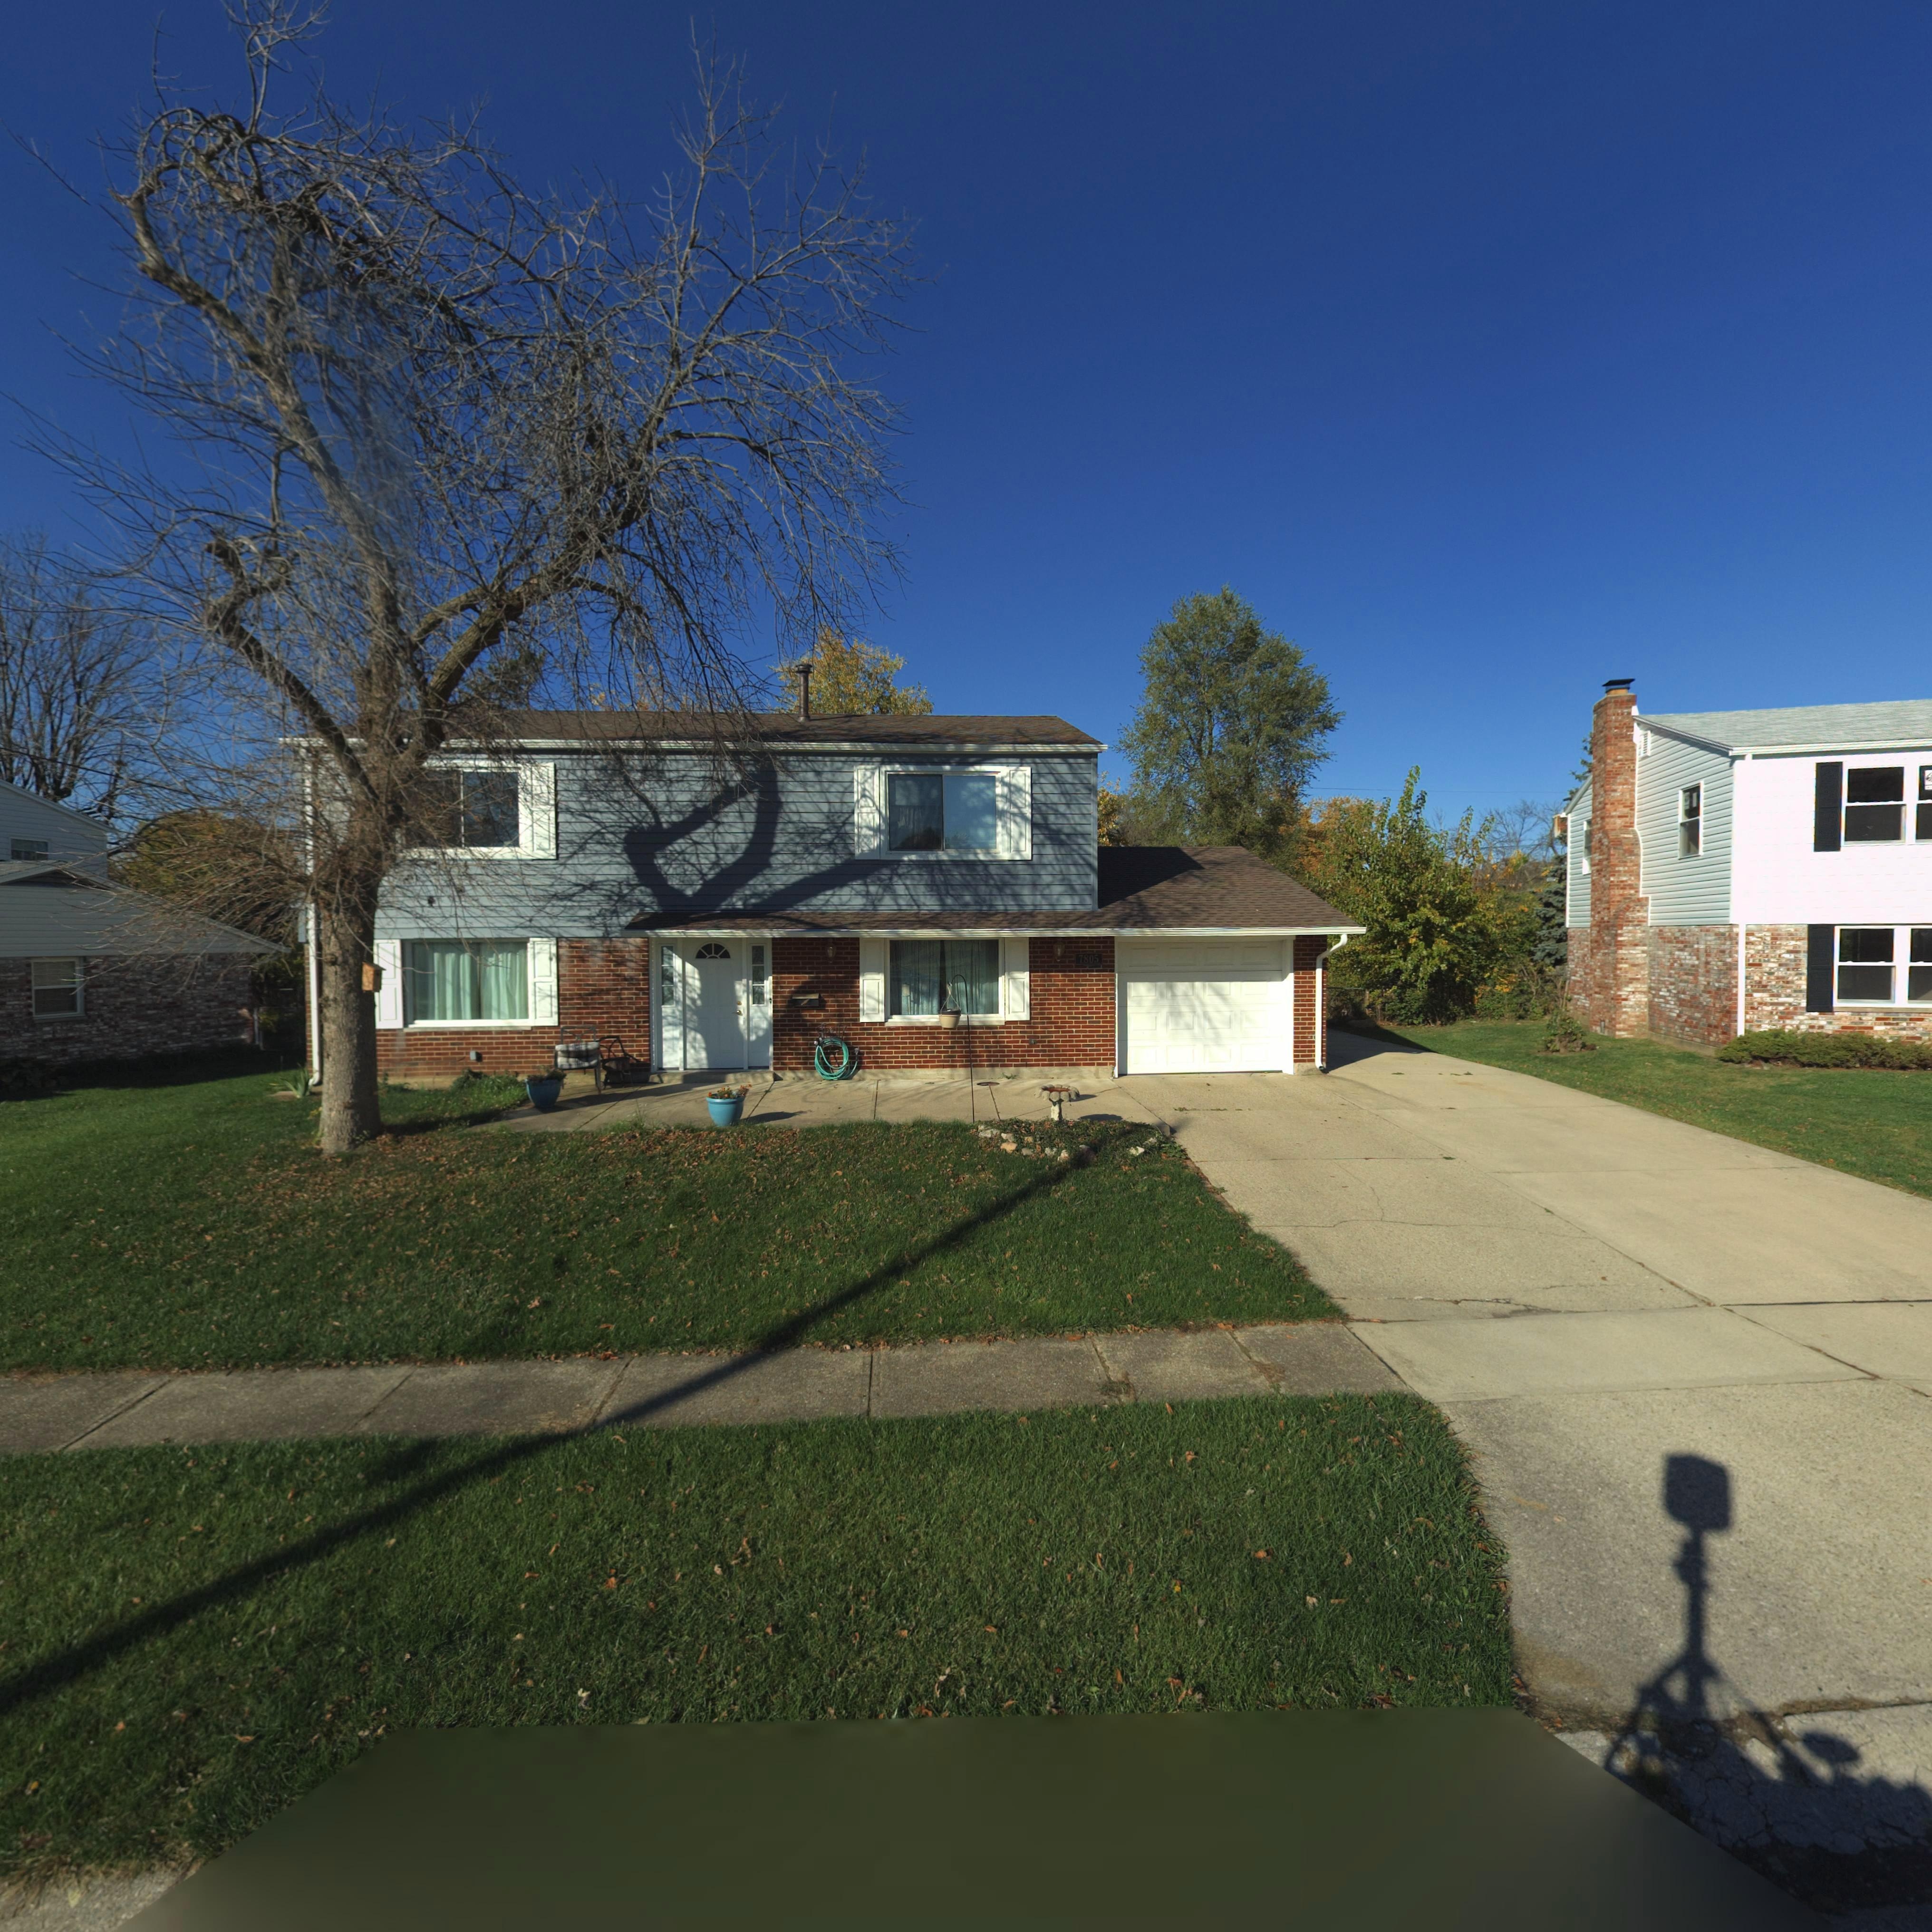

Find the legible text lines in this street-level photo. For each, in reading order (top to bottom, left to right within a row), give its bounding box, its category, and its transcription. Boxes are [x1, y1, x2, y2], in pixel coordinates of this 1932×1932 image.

[1078, 954, 1099, 964] StreetNumber: 7805